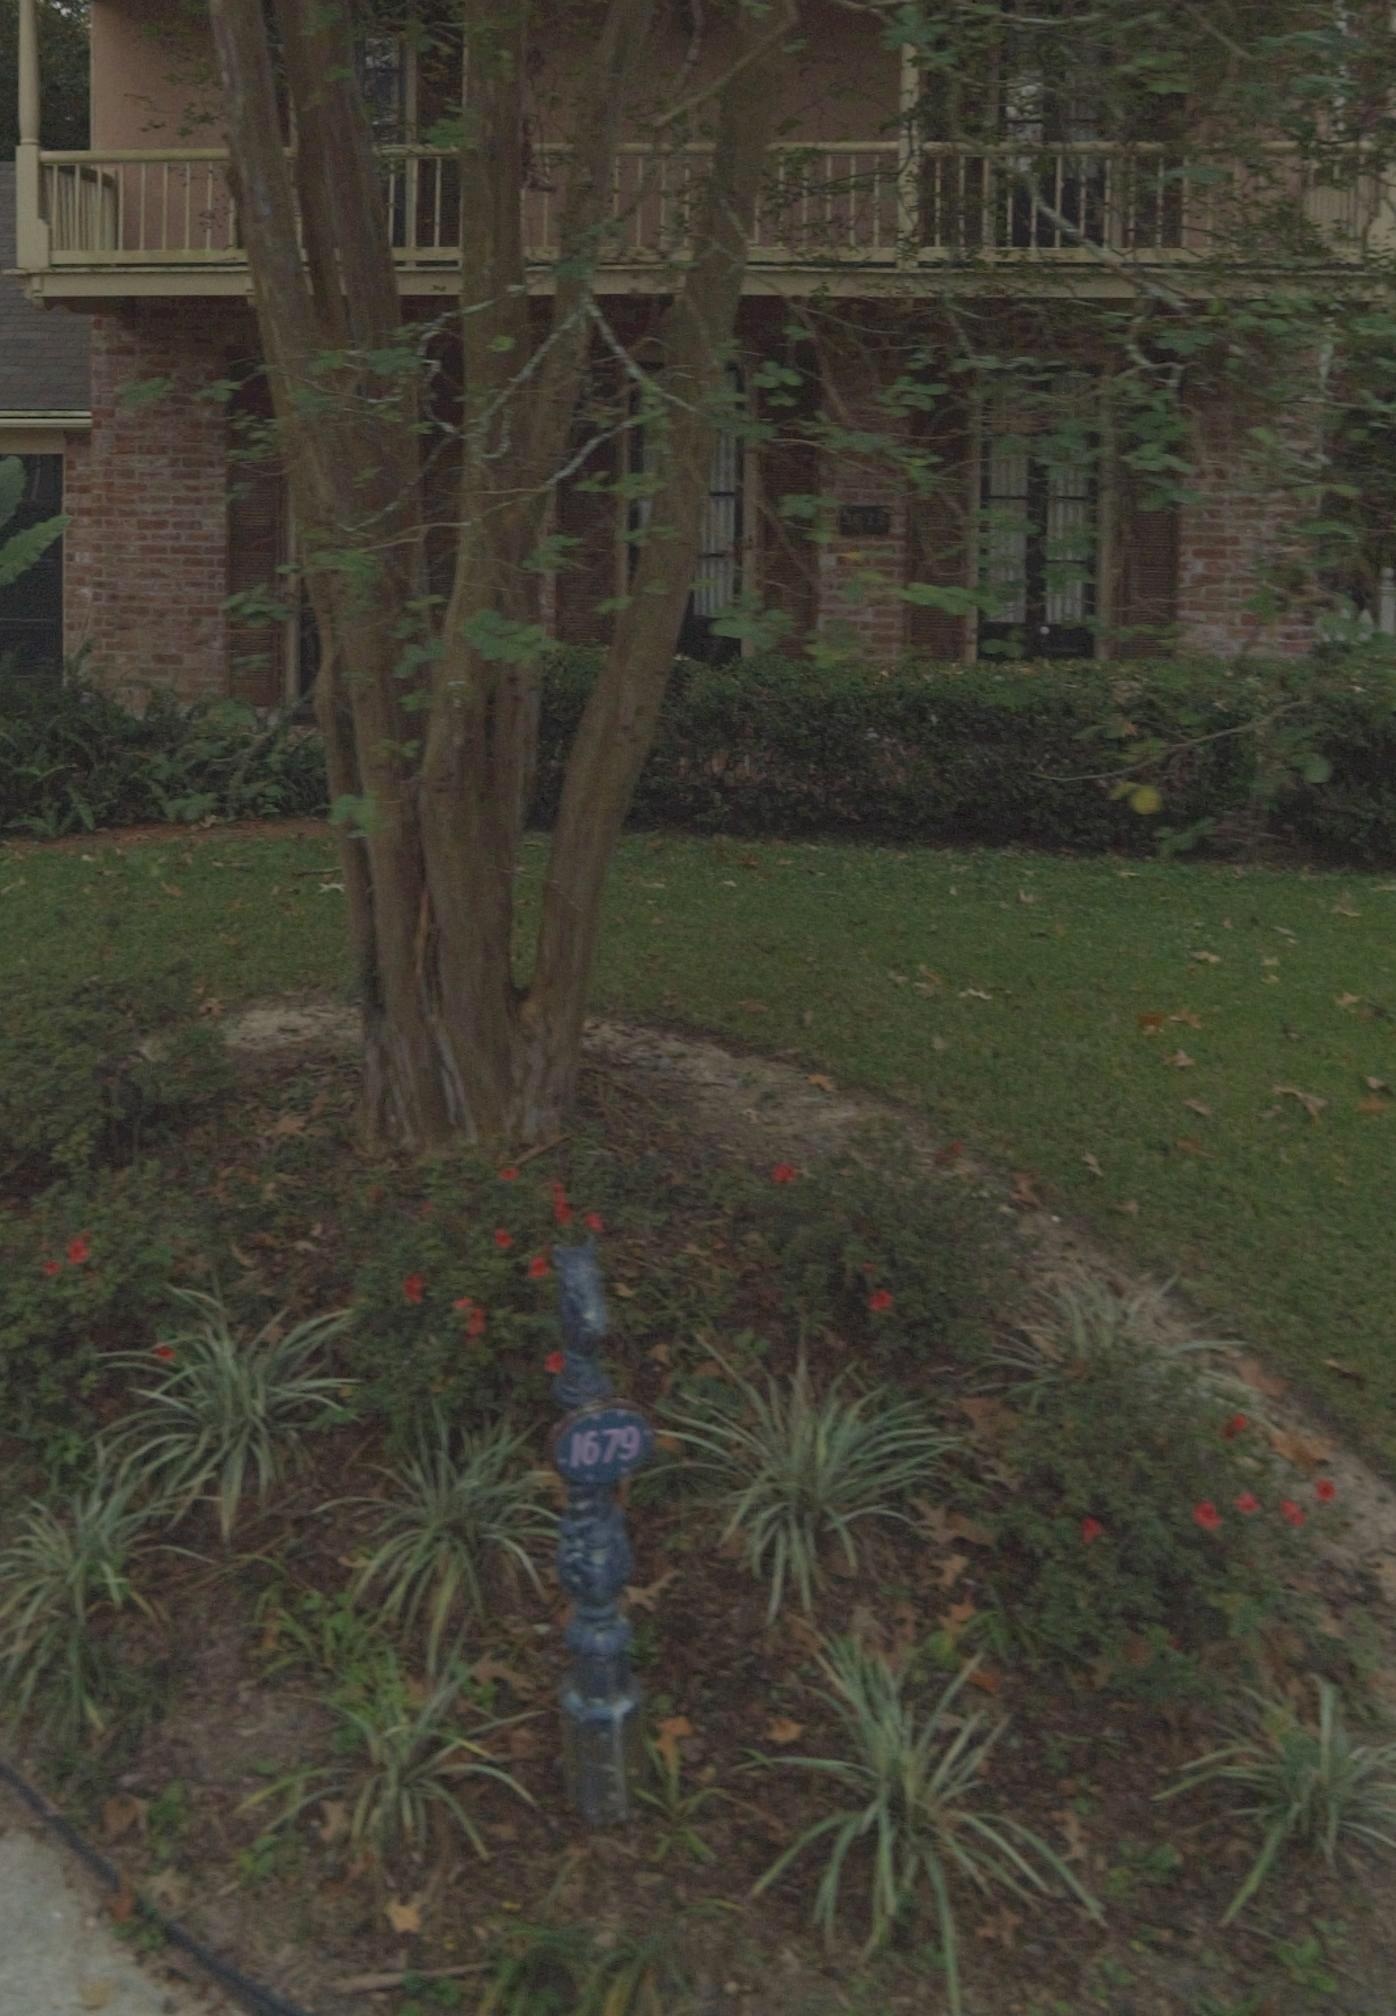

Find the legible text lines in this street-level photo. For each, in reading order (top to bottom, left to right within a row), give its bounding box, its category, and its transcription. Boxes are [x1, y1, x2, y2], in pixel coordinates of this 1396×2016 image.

[839, 511, 885, 528] StreetNumber: 1470
[566, 1424, 643, 1470] StreetNumber: 1679